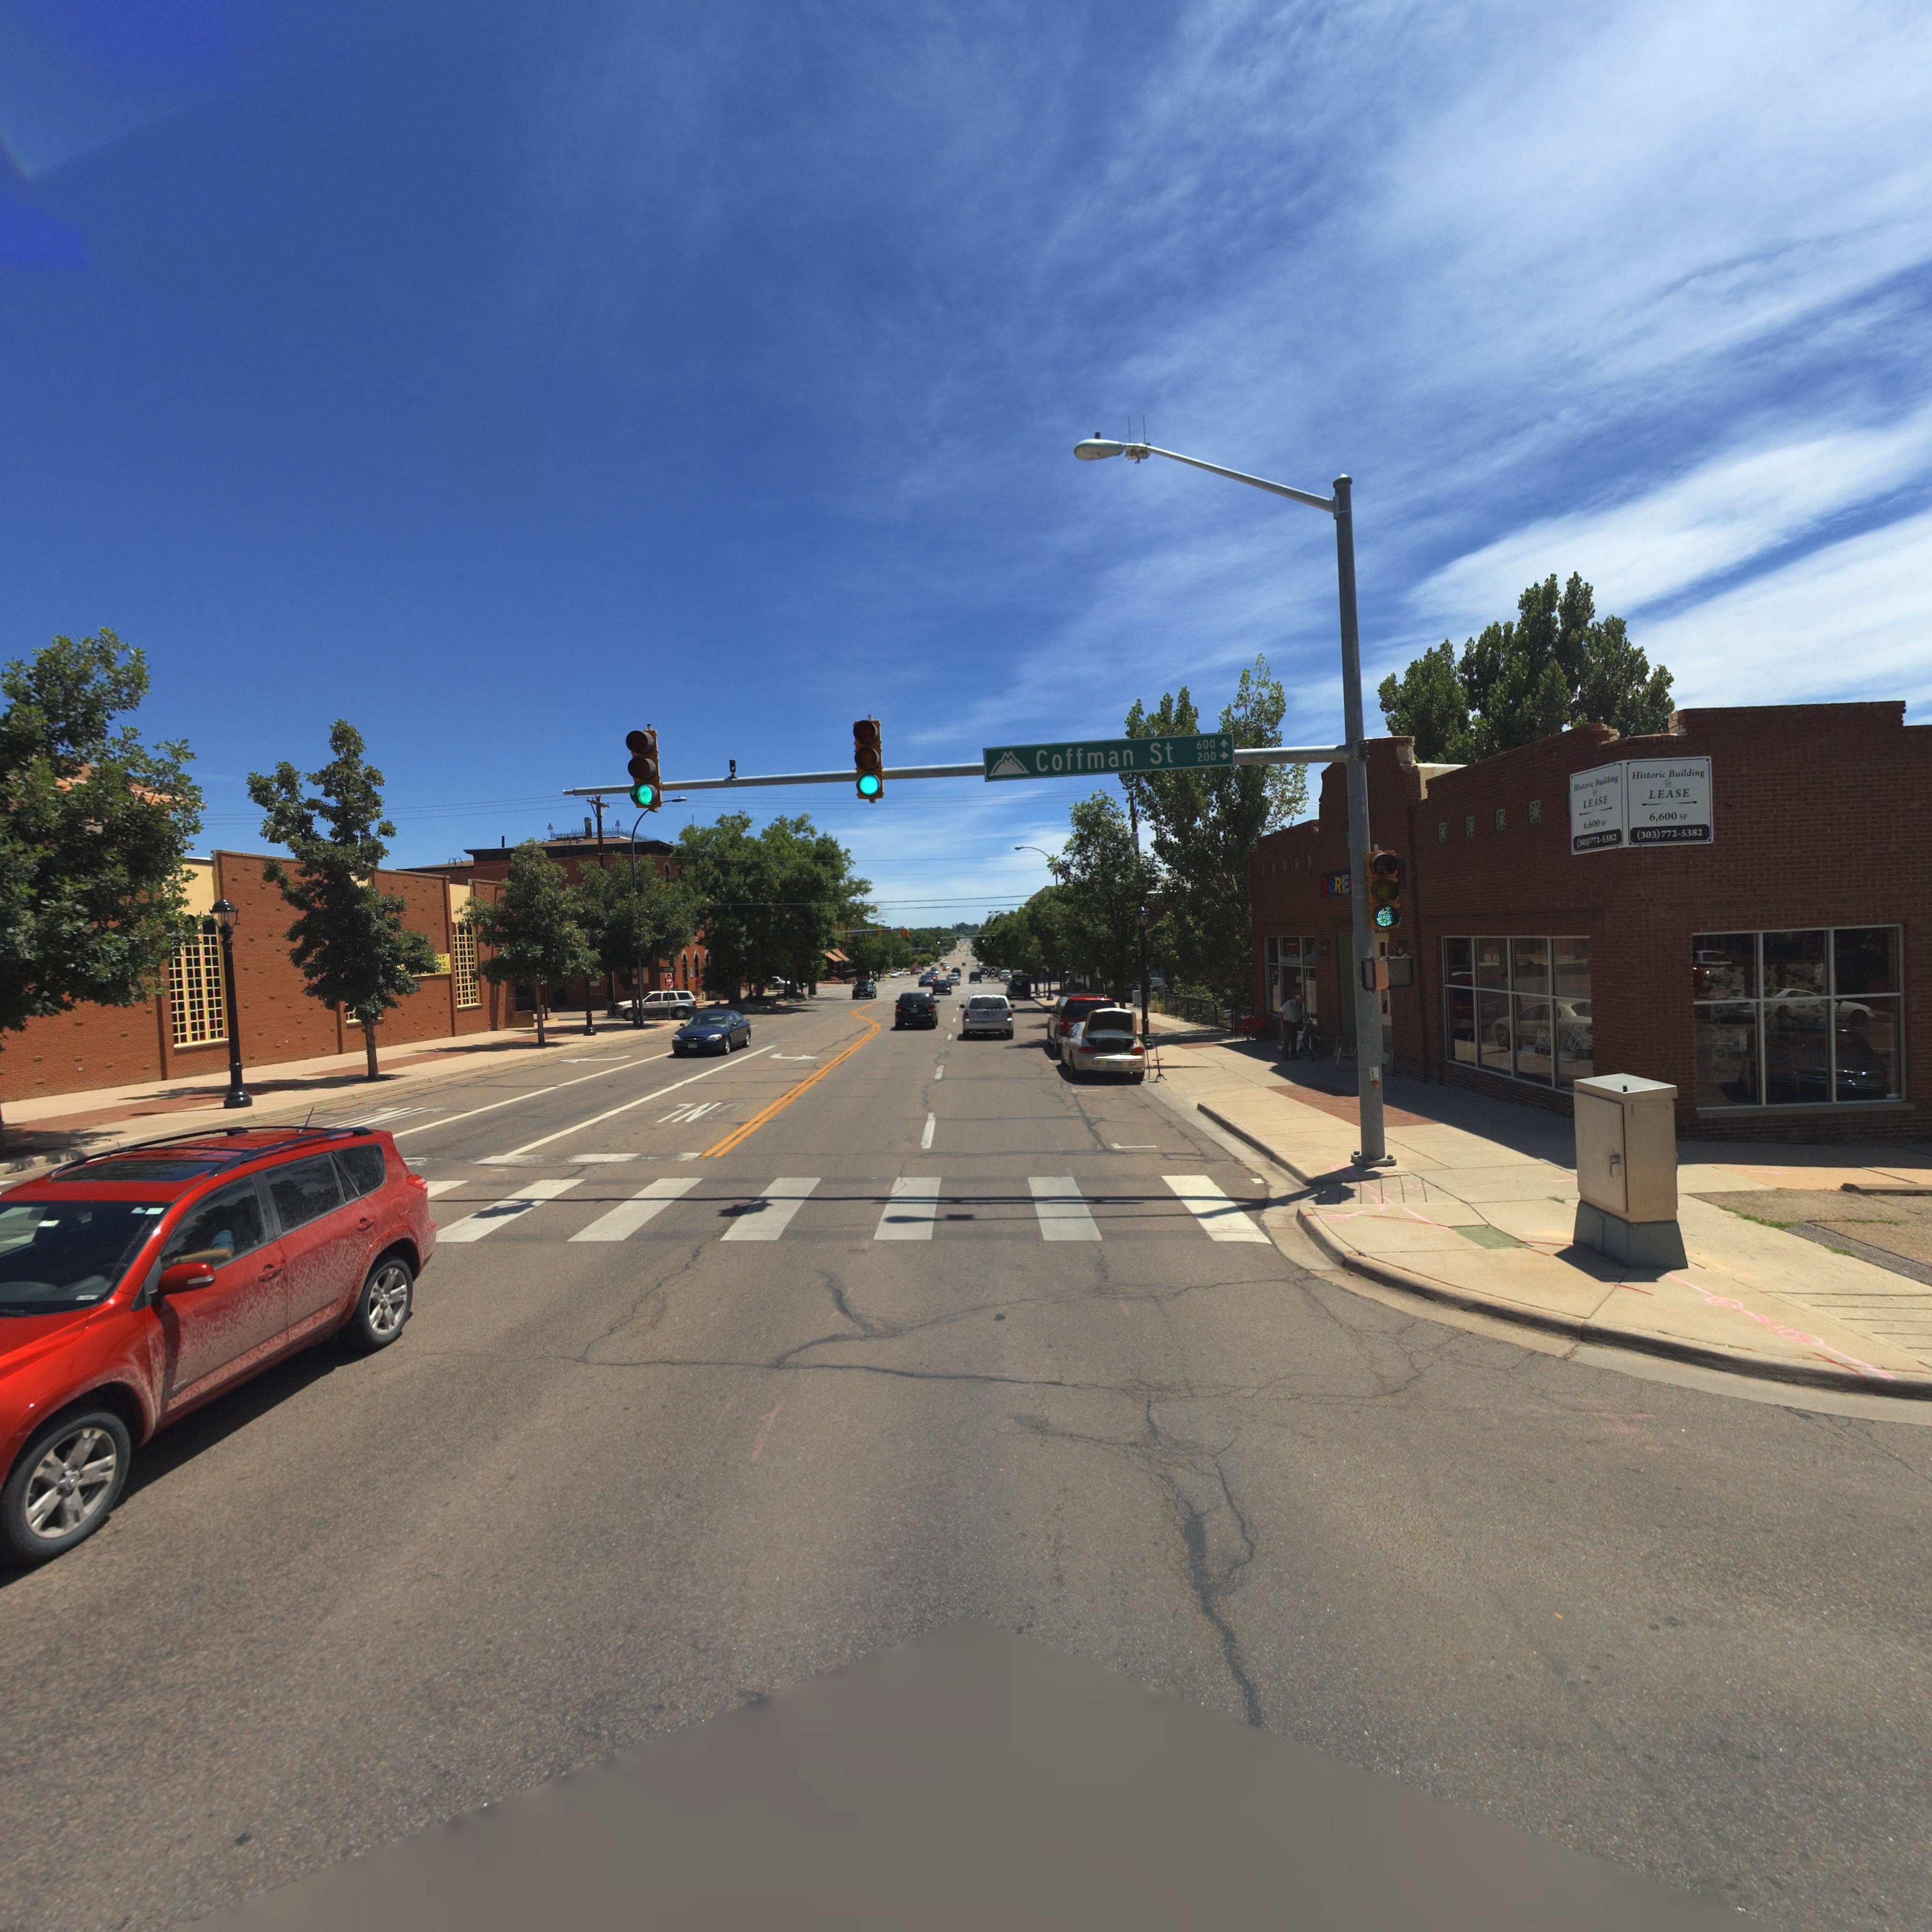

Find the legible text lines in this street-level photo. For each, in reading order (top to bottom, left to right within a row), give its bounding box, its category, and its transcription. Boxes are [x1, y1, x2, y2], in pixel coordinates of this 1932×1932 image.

[1196, 738, 1216, 750] StreetNumberRange: 600
[1035, 742, 1174, 772] StreetName: Coffman St
[1197, 750, 1229, 762] StreetNumberRange: 200->
[1317, 873, 1353, 897] BusinessName: SeRE*